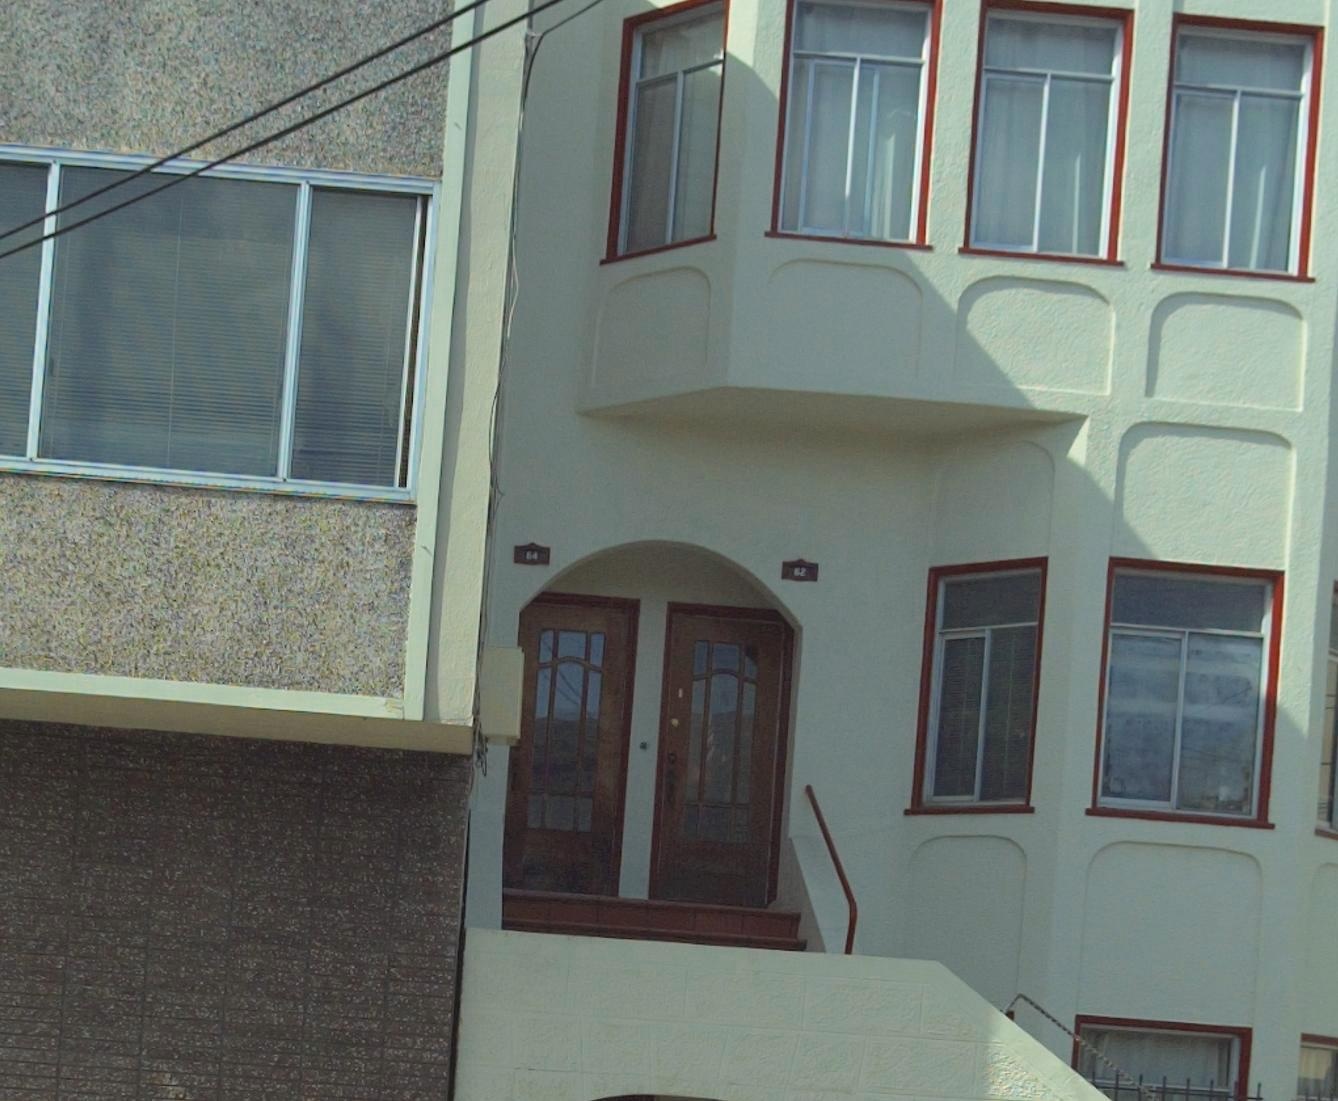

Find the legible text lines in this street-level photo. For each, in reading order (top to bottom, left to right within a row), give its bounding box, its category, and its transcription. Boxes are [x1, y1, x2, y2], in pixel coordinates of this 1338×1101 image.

[525, 549, 540, 561] StreetNumber: 64
[793, 566, 807, 578] StreetNumber: 62